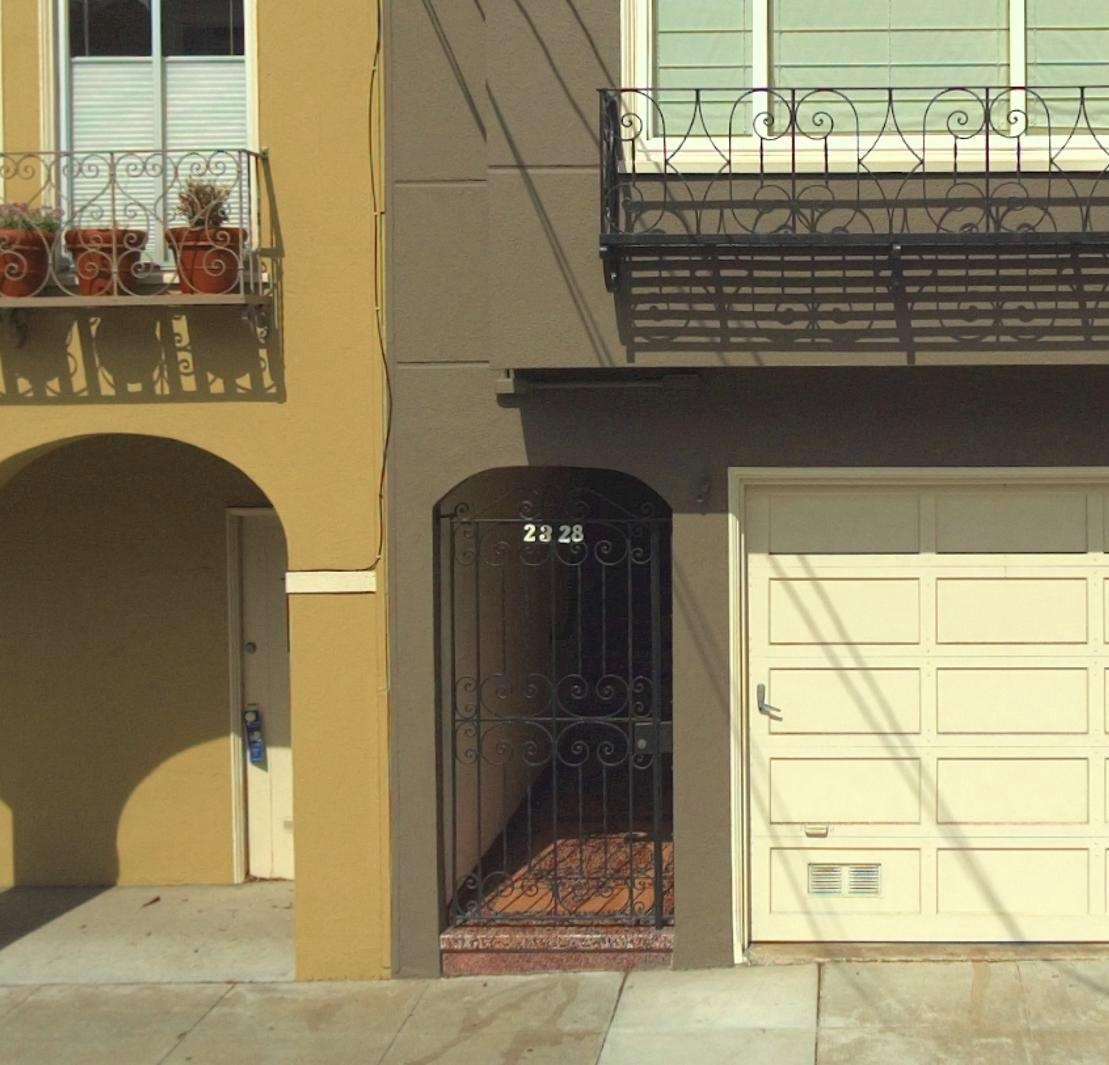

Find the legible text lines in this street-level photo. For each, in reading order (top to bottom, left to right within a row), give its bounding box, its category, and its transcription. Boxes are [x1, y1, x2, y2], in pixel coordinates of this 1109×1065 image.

[520, 521, 586, 546] StreetNumber: 2328